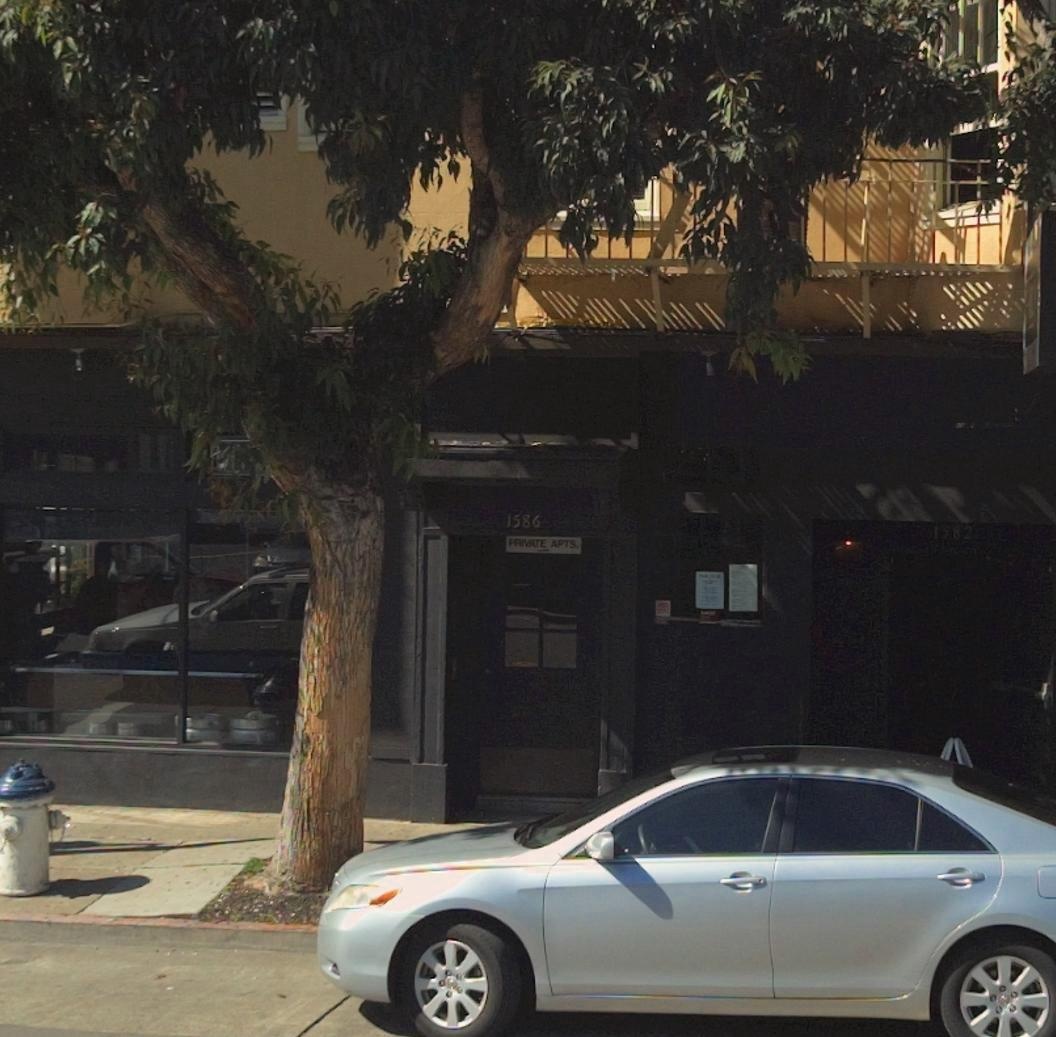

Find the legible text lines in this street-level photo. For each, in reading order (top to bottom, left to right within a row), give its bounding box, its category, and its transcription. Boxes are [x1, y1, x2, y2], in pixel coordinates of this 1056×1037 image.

[505, 511, 543, 531] StreetNumber: 1586
[930, 522, 976, 544] StreetNumber: 1582
[506, 536, 582, 551] None: PRIVATE APTS.